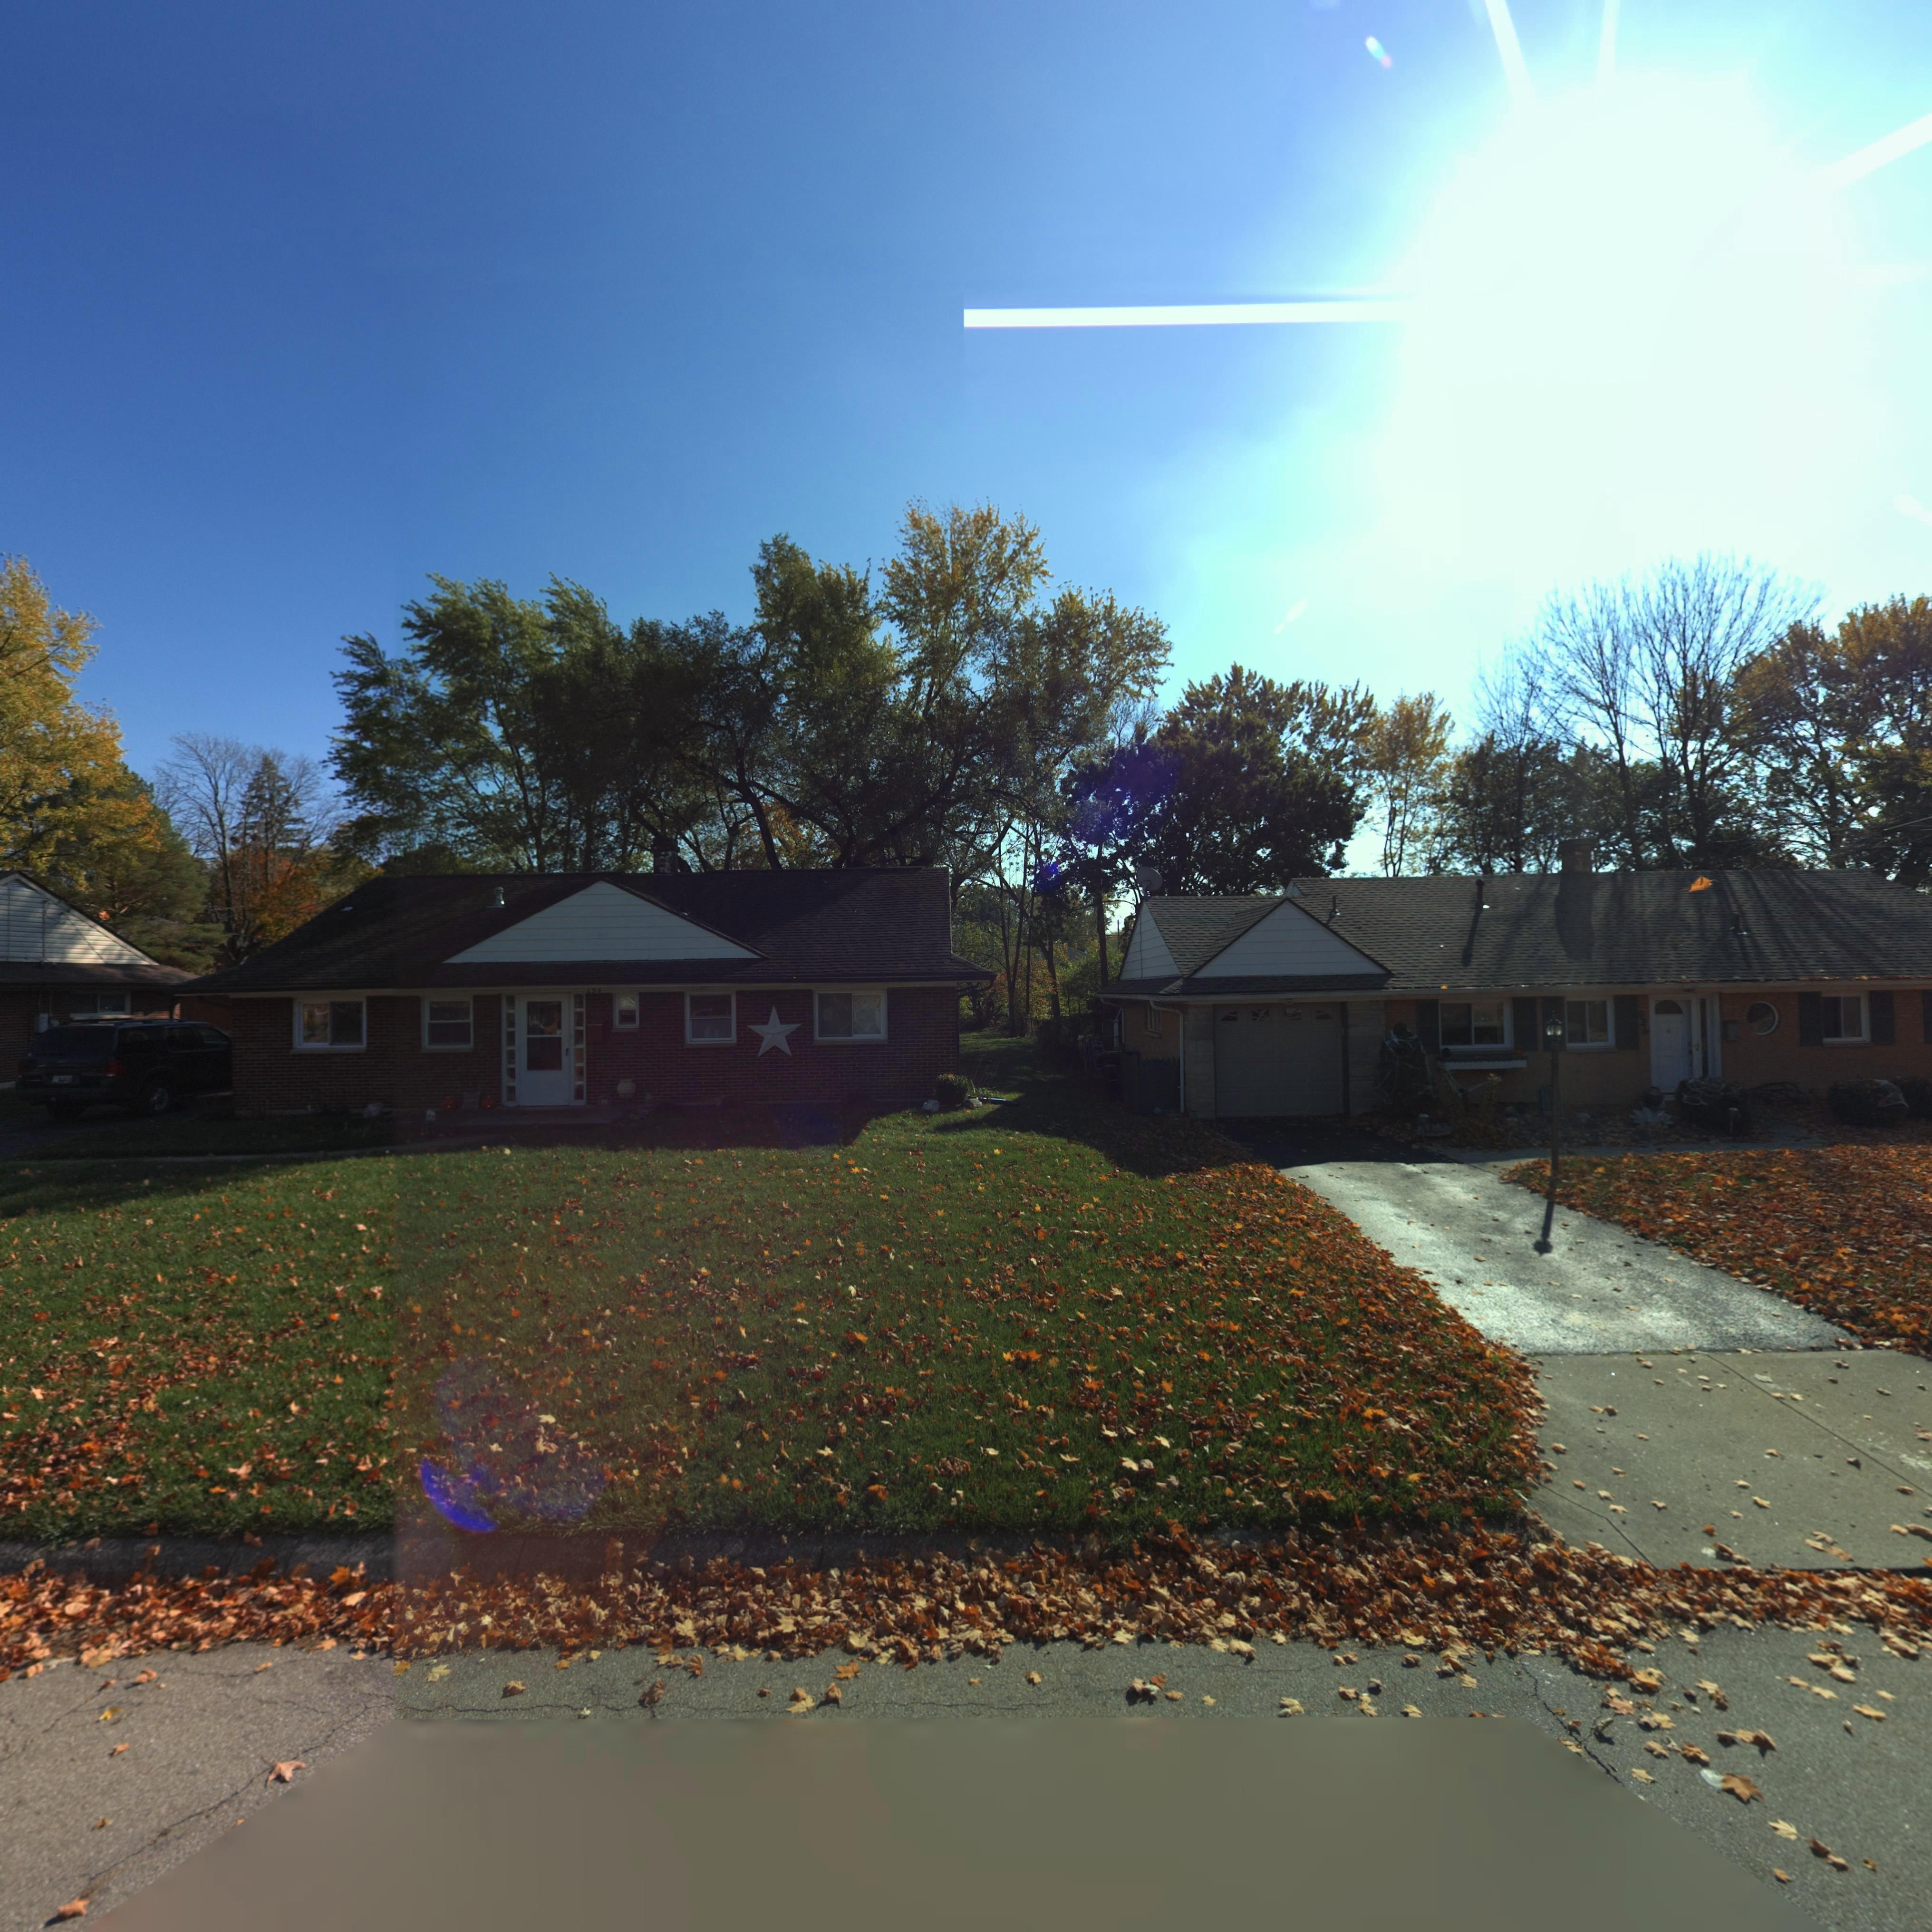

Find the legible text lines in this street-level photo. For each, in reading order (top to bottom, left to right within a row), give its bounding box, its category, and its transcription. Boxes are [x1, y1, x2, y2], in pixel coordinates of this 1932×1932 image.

[585, 986, 603, 995] StreetNumber: 634